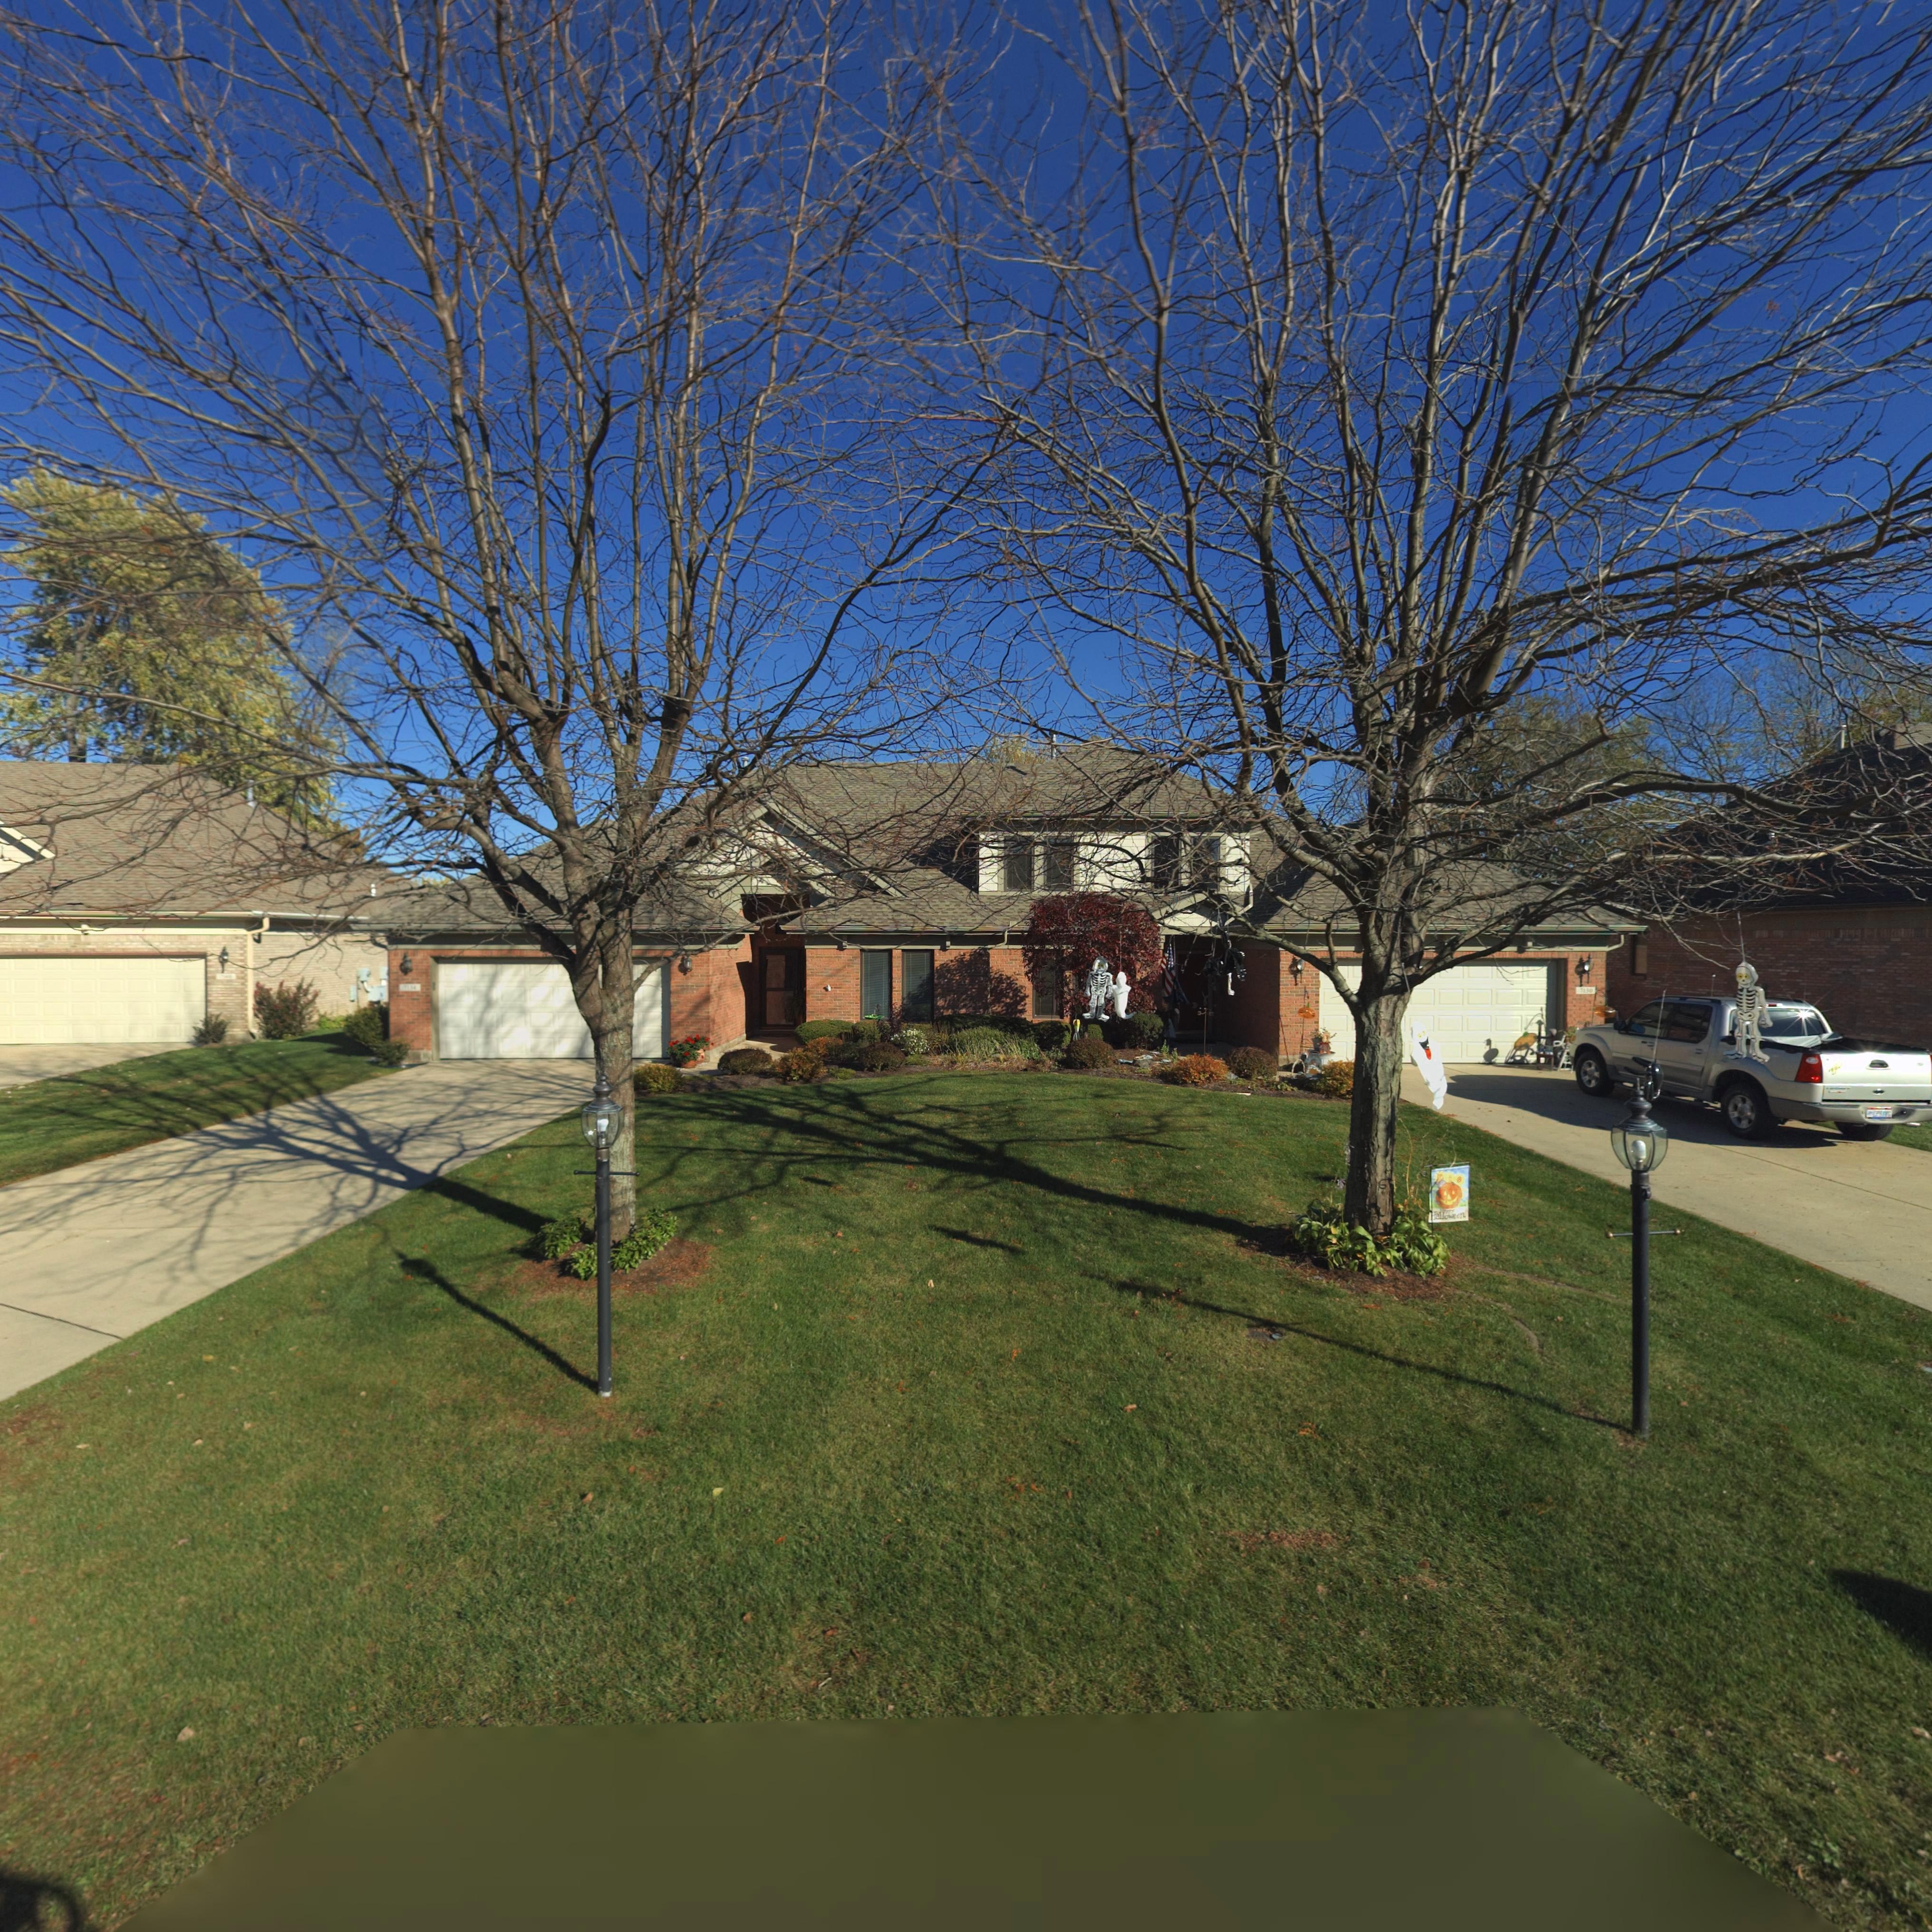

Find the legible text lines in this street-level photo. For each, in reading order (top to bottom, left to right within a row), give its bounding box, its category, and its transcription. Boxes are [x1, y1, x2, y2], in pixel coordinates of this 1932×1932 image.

[219, 974, 233, 979] StreetNumber: 7***
[402, 984, 417, 991] StreetNumber: 7134
[1579, 987, 1593, 994] StreetNumber: 7130